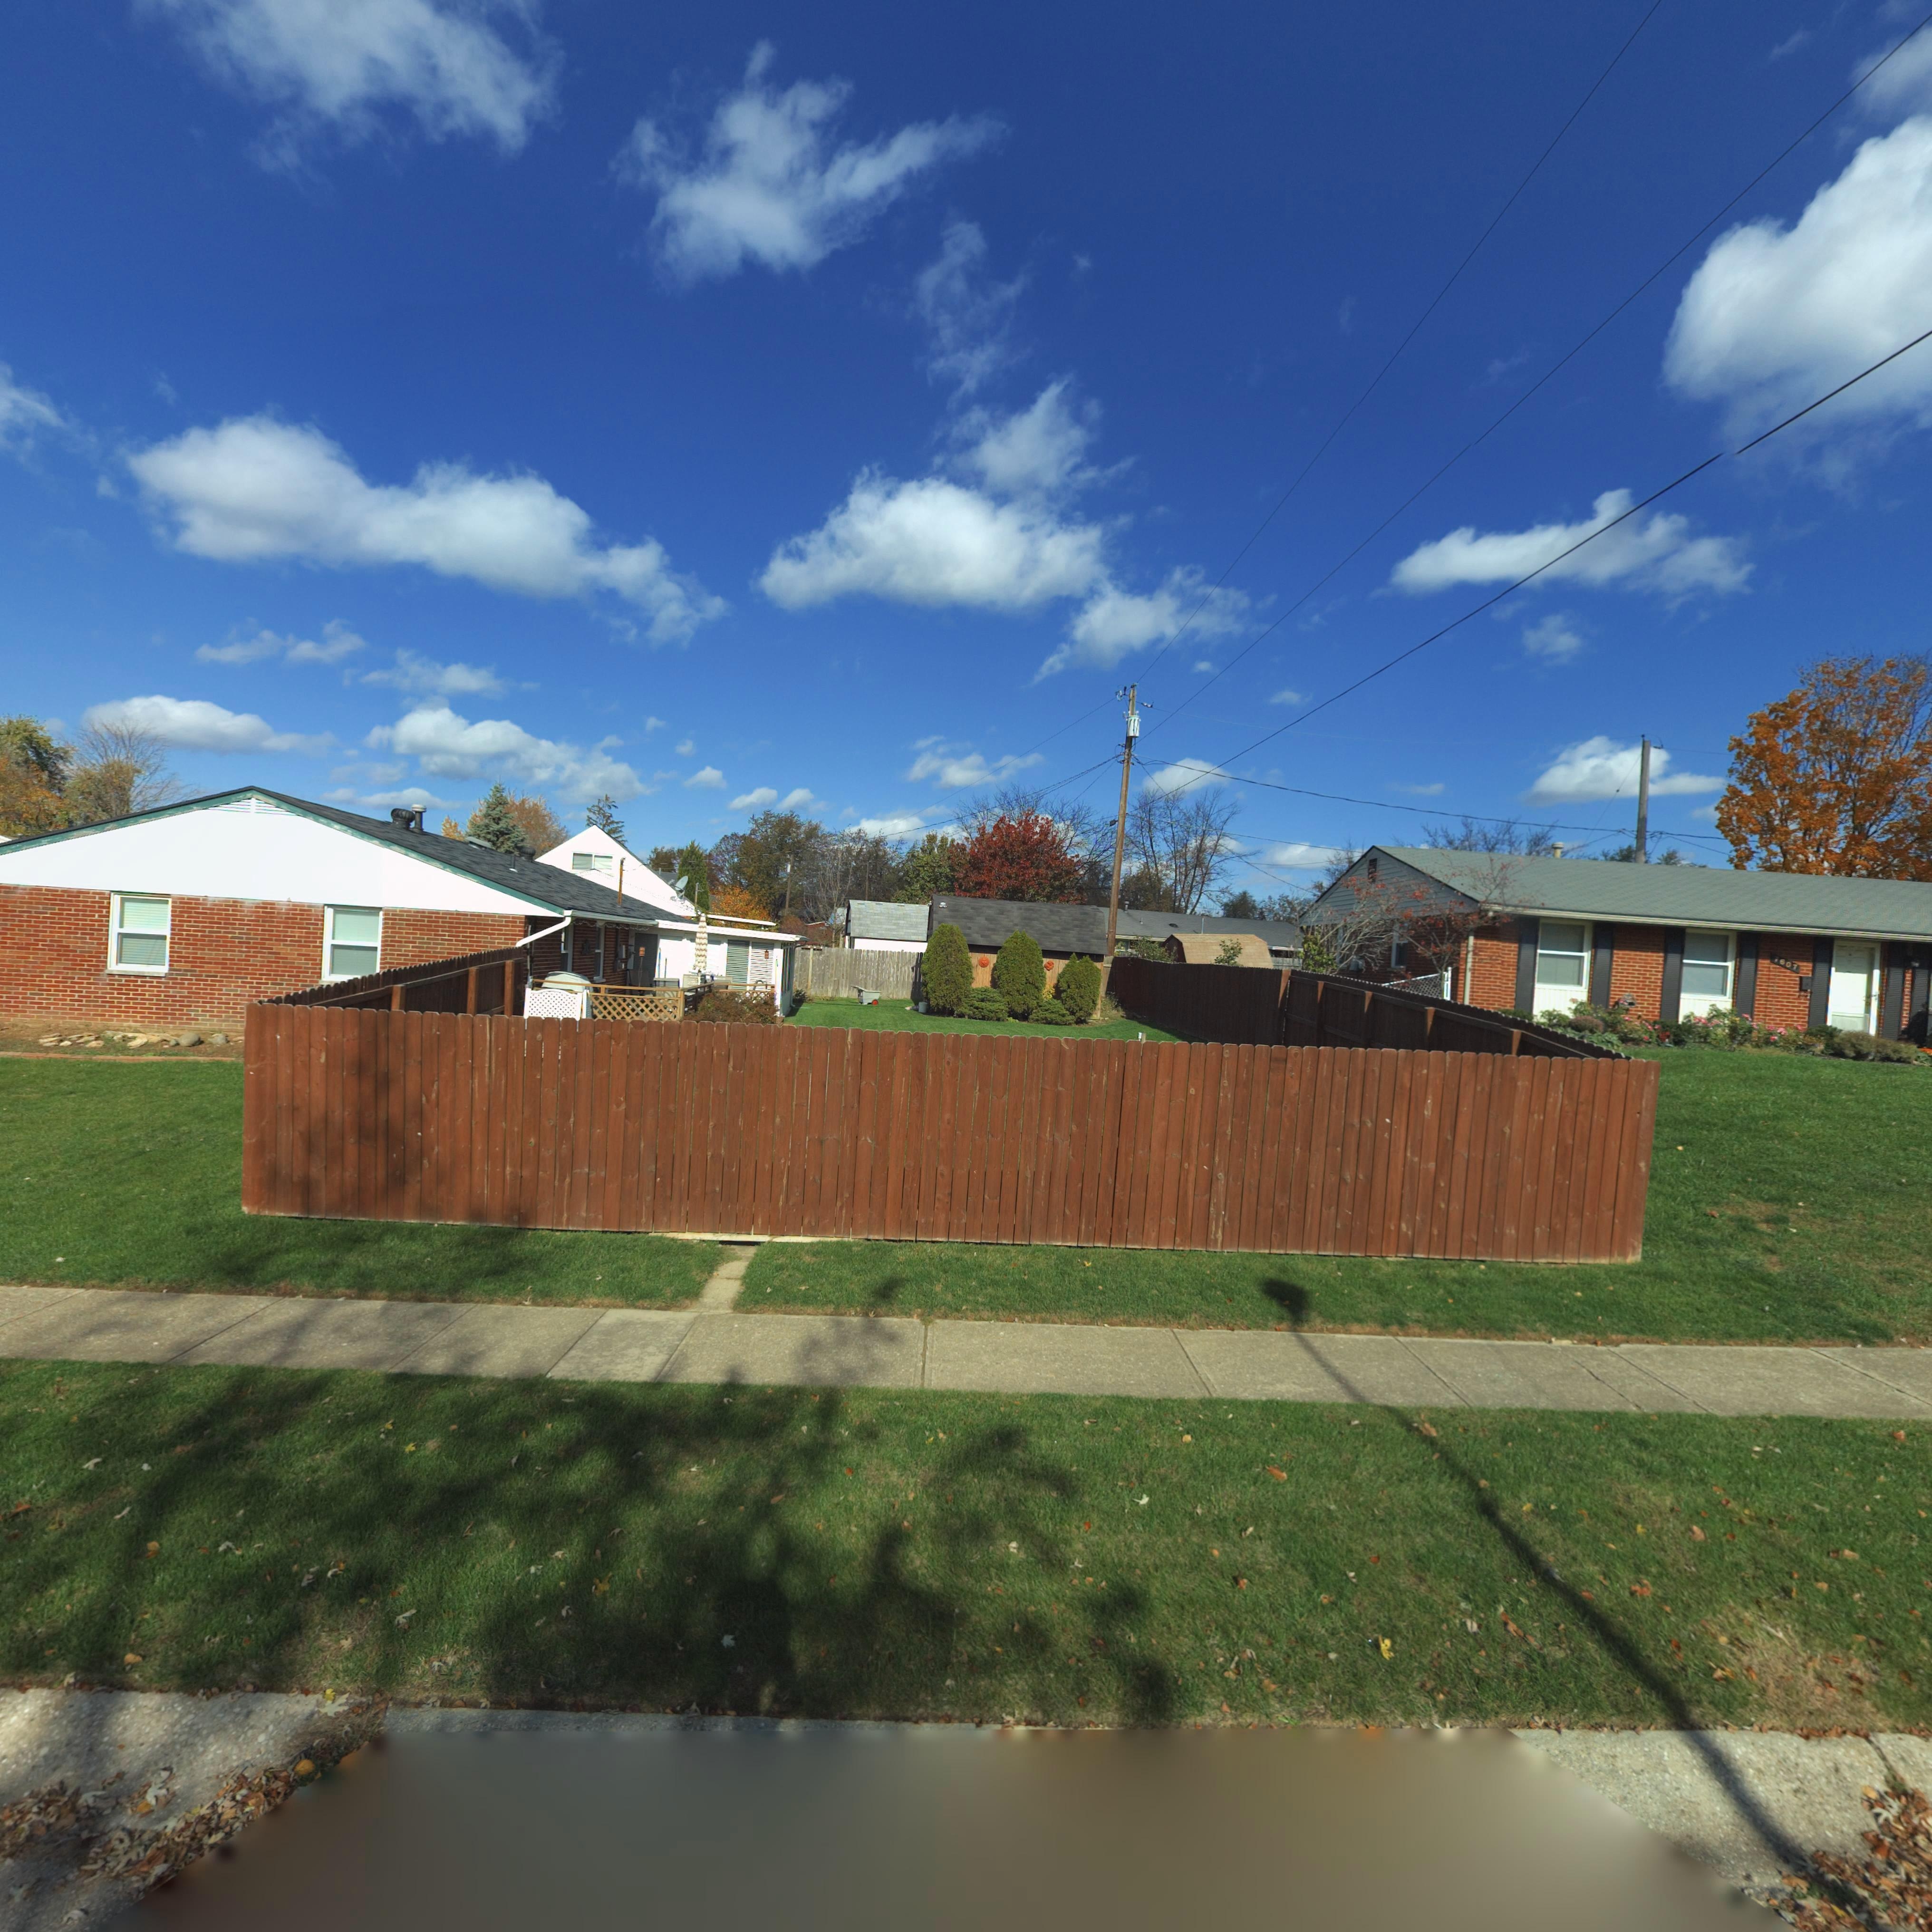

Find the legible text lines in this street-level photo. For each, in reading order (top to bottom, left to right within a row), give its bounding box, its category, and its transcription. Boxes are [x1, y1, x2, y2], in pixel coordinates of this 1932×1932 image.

[1773, 955, 1798, 972] StreetNumber: 7607